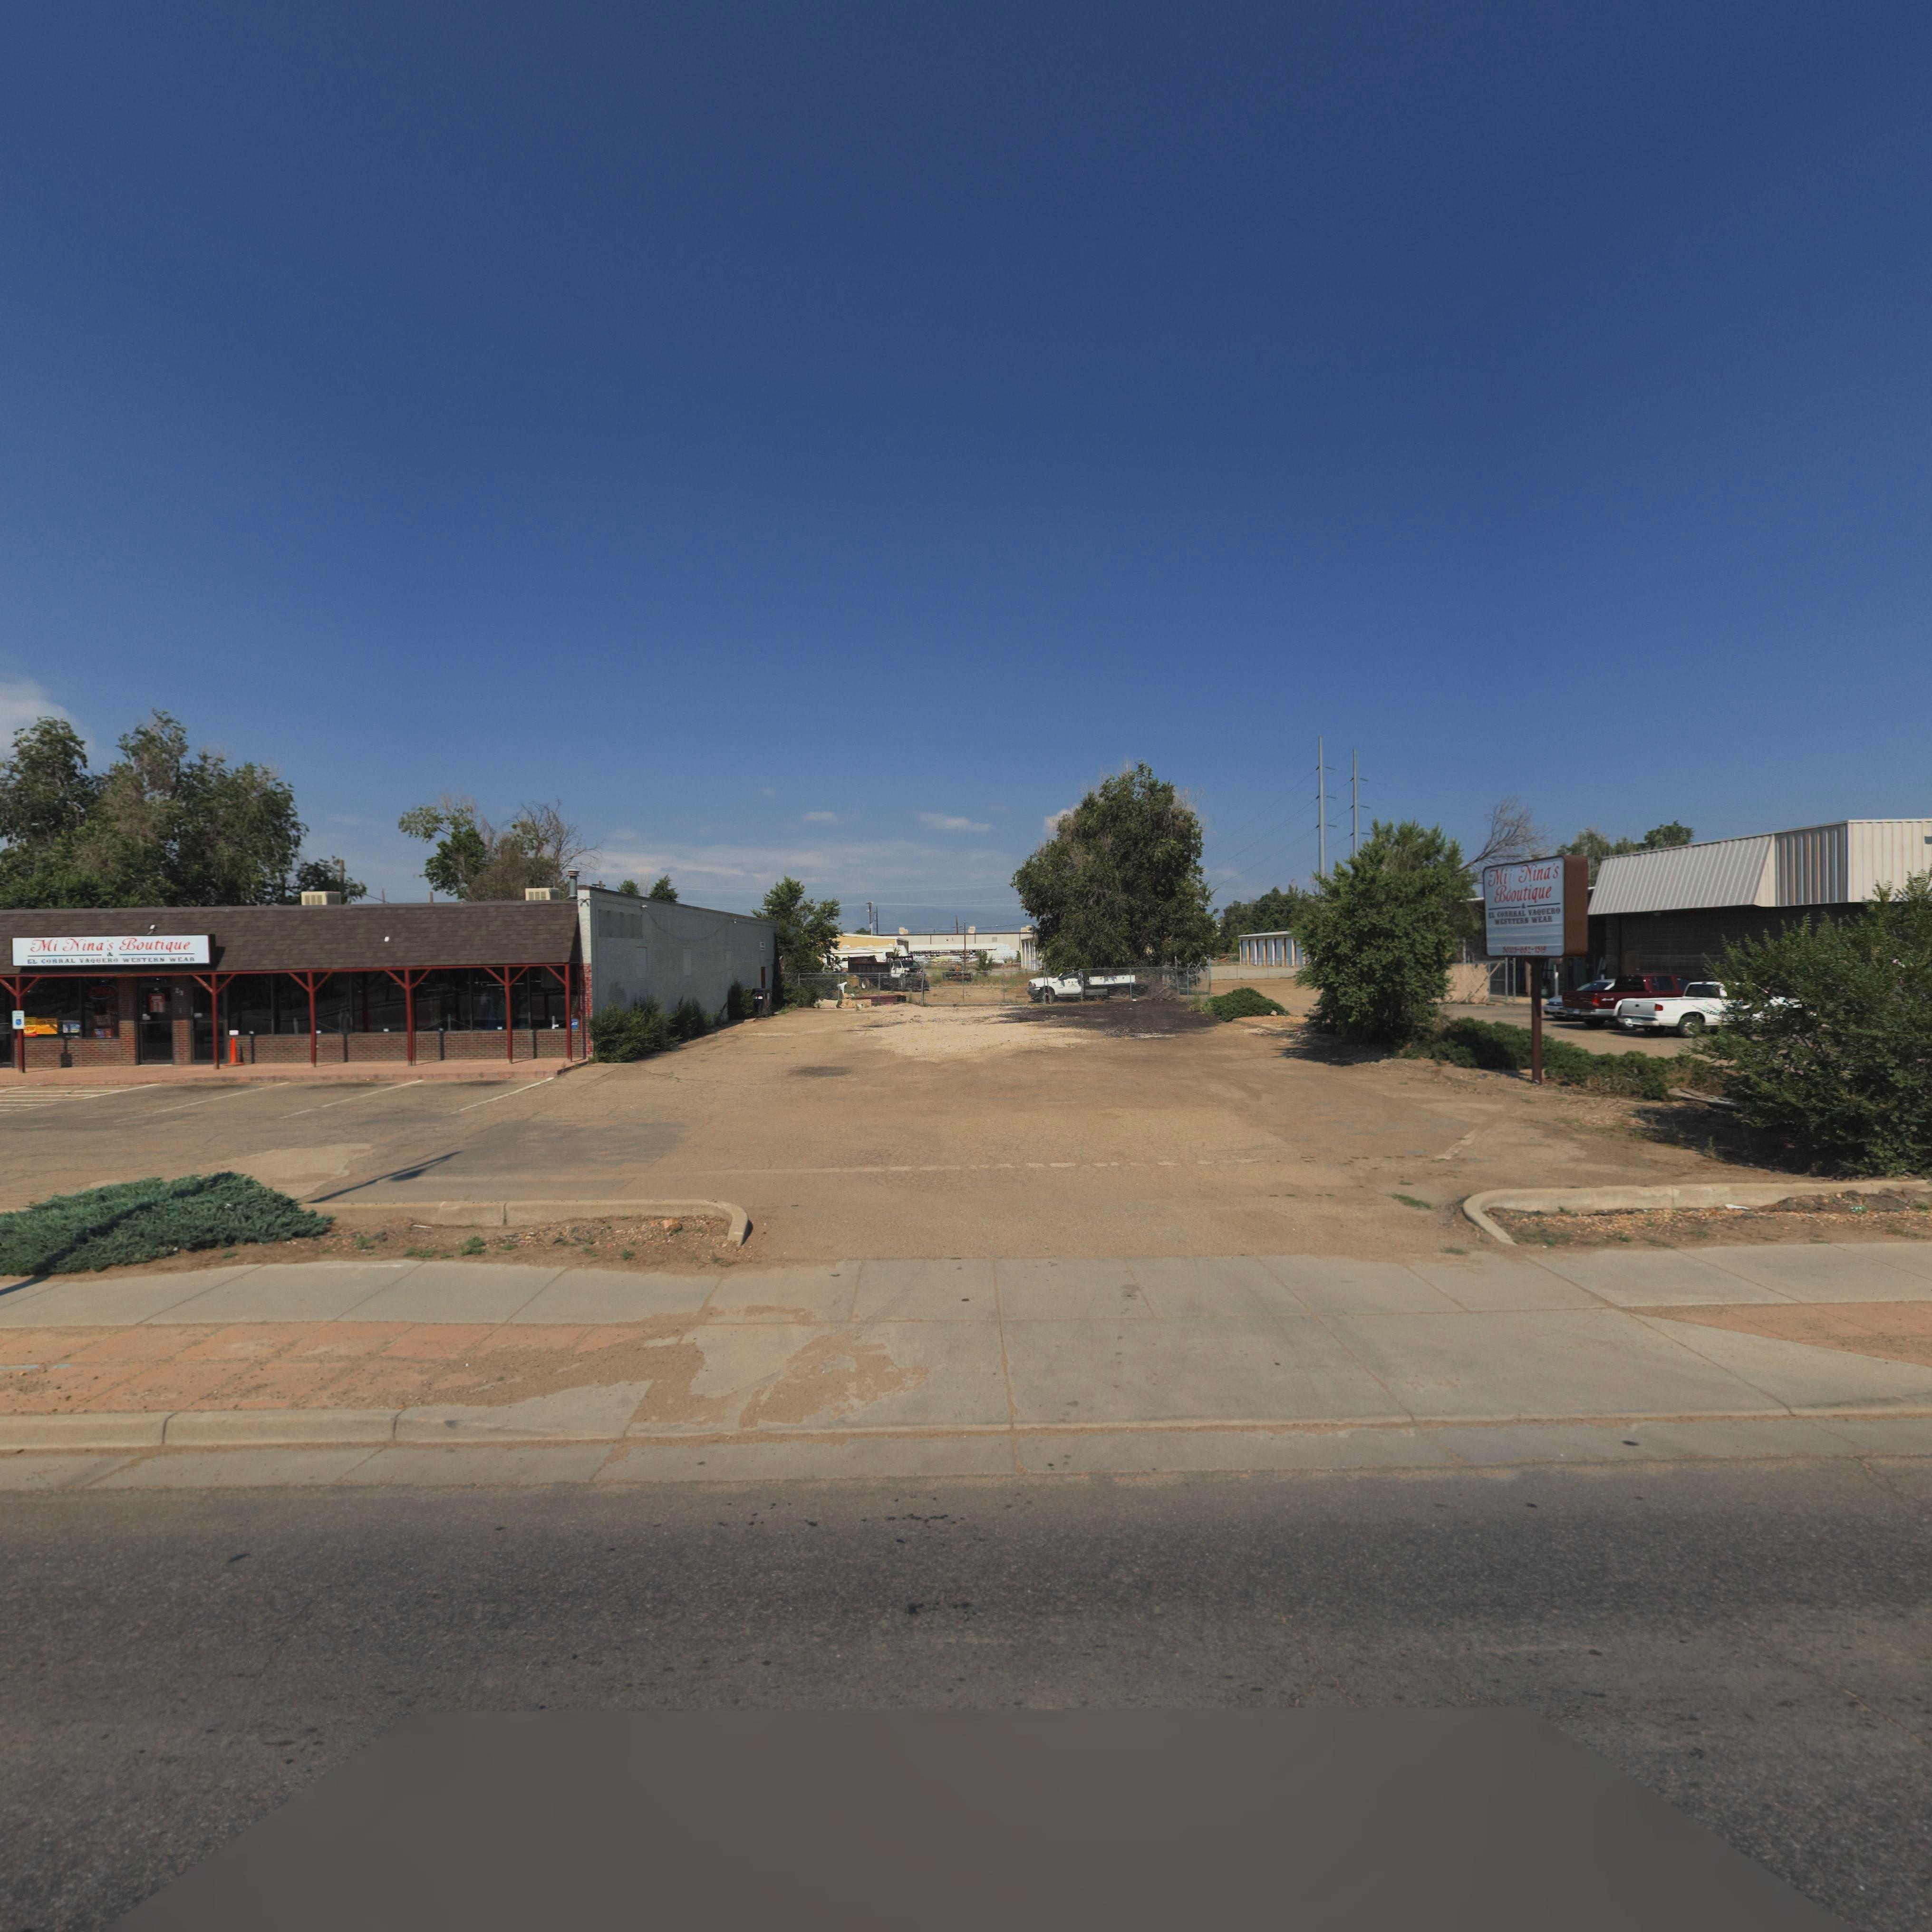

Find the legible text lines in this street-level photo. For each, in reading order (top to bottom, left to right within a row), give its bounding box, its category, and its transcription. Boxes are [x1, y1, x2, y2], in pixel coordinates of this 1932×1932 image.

[1488, 862, 1559, 887] BusinessName: Mi* Nina*s
[1494, 884, 1552, 903] BusinessName: B*outique
[29, 937, 191, 953] BusinessName: Mi Nina*s Boutique